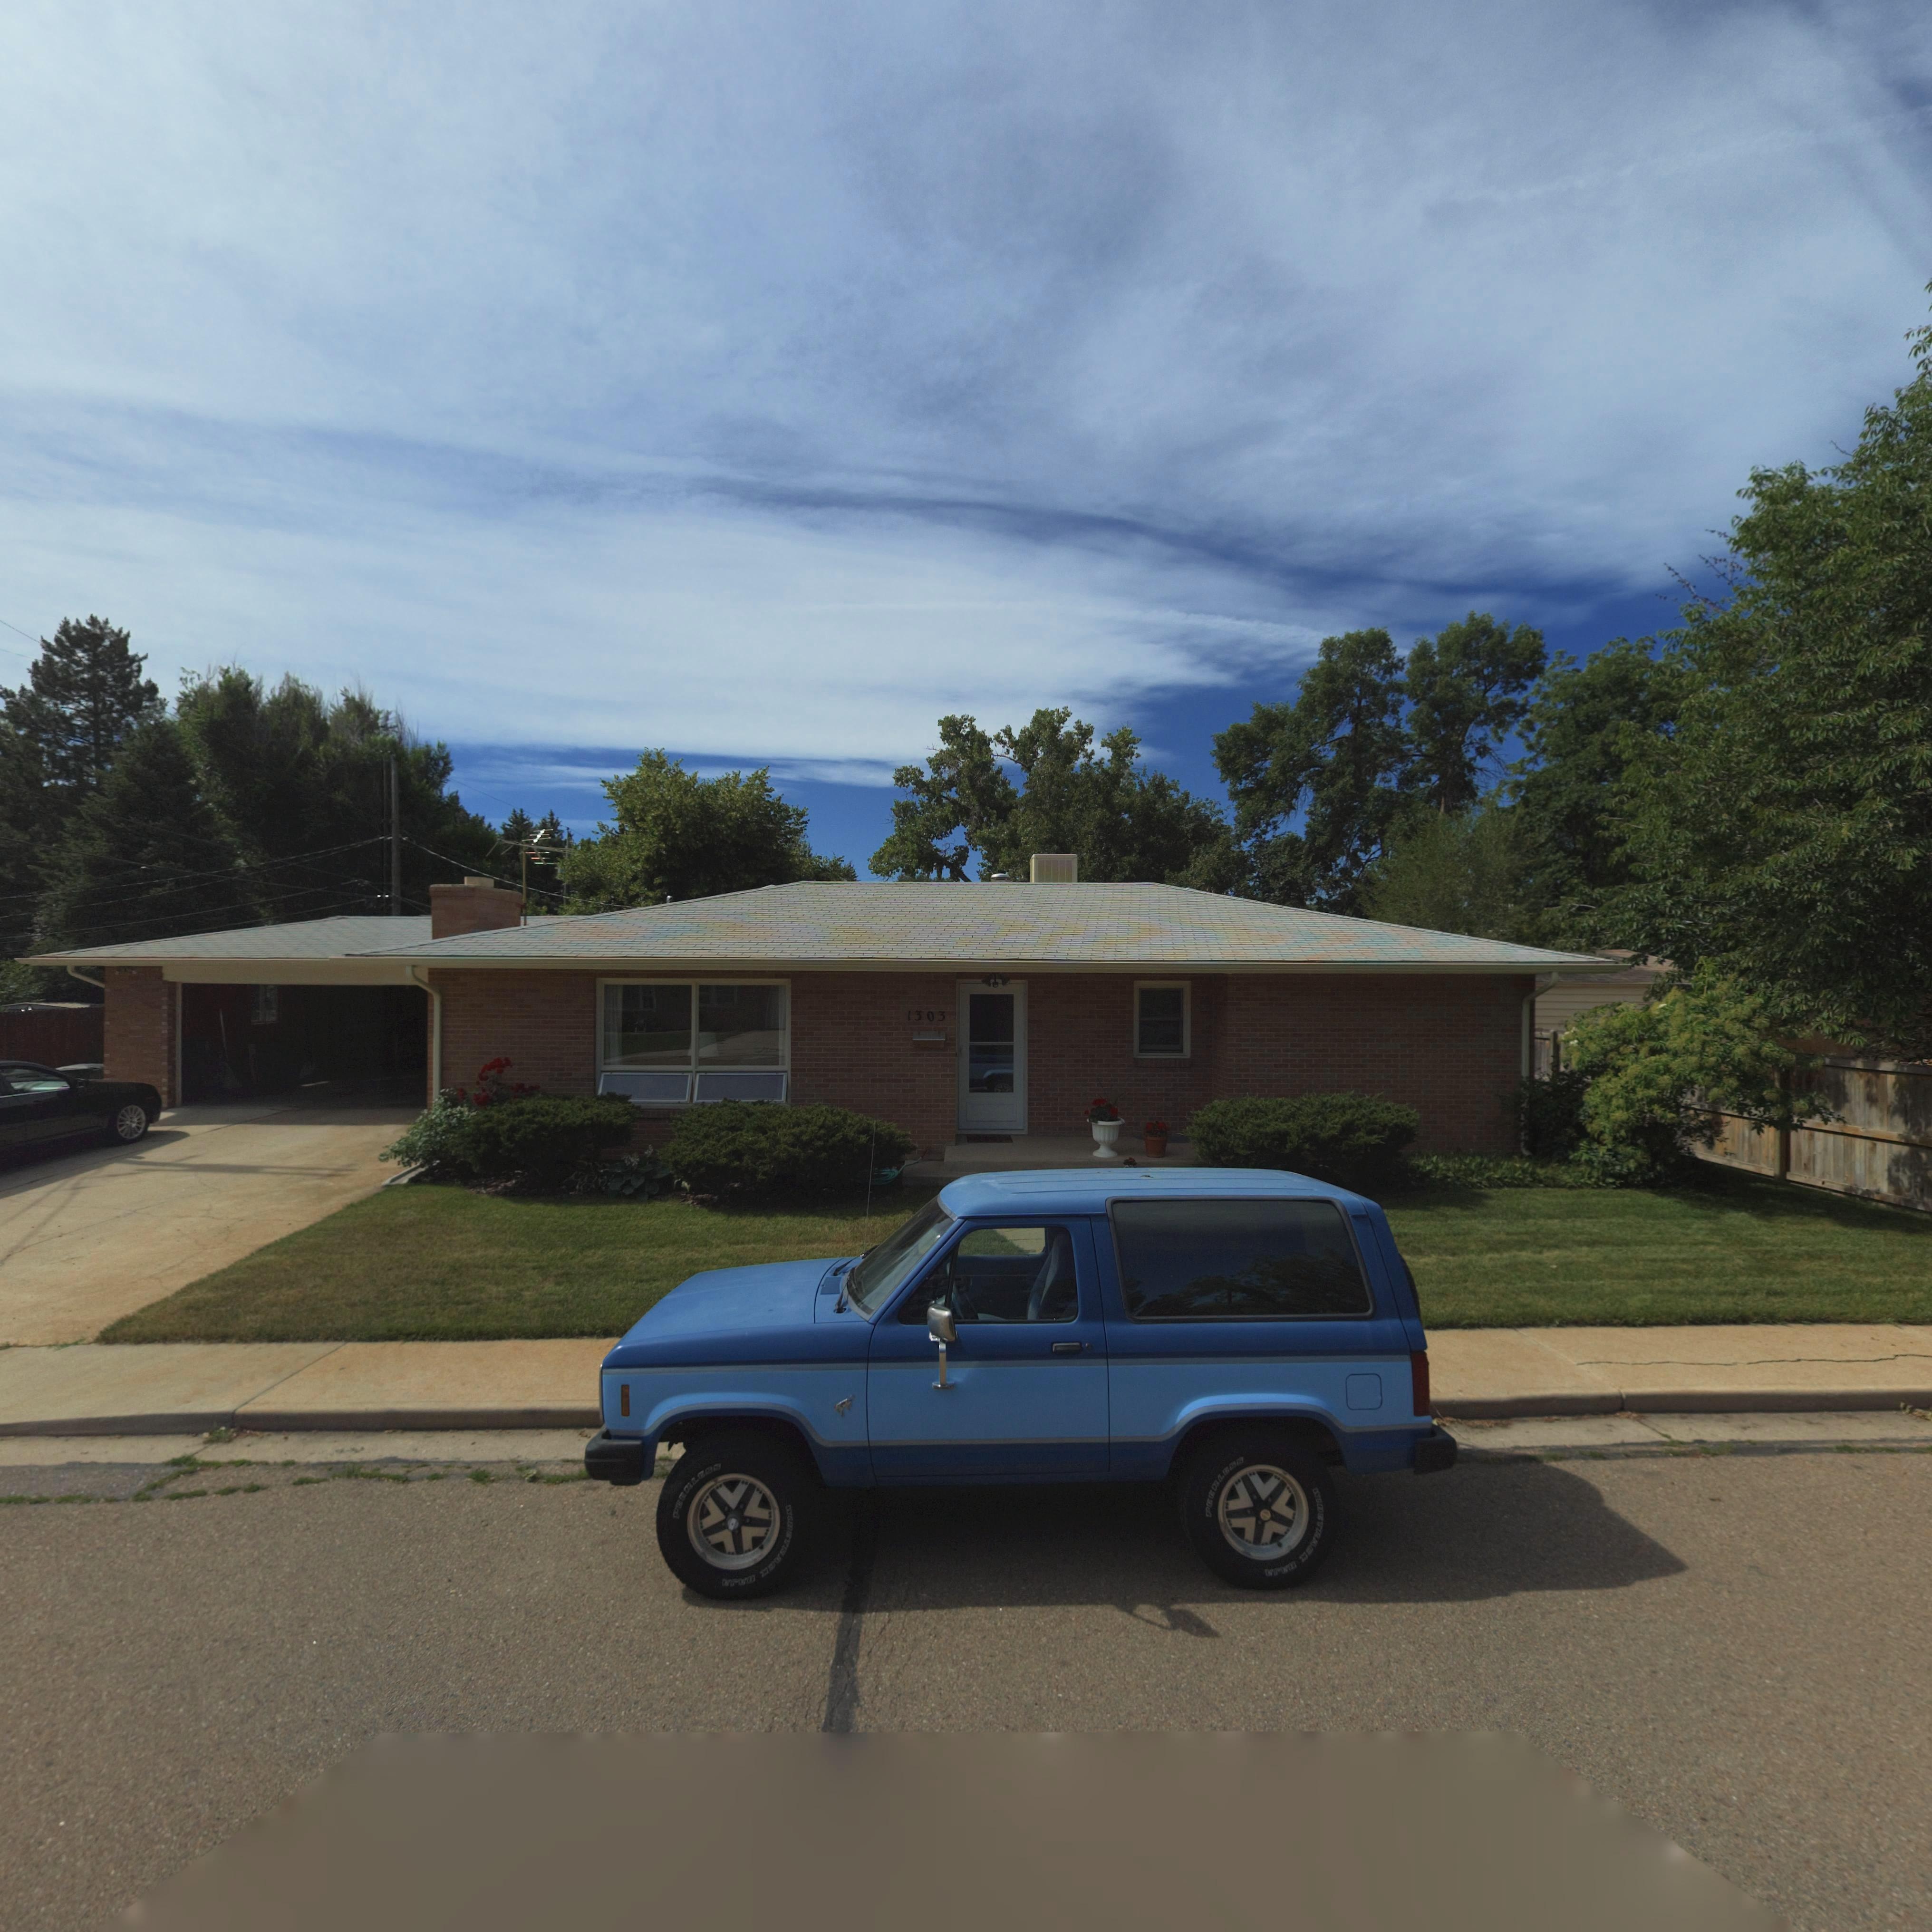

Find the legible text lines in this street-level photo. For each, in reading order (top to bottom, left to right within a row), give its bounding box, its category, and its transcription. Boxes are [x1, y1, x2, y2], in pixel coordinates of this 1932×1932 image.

[907, 1010, 946, 1022] StreetNumber: 1303